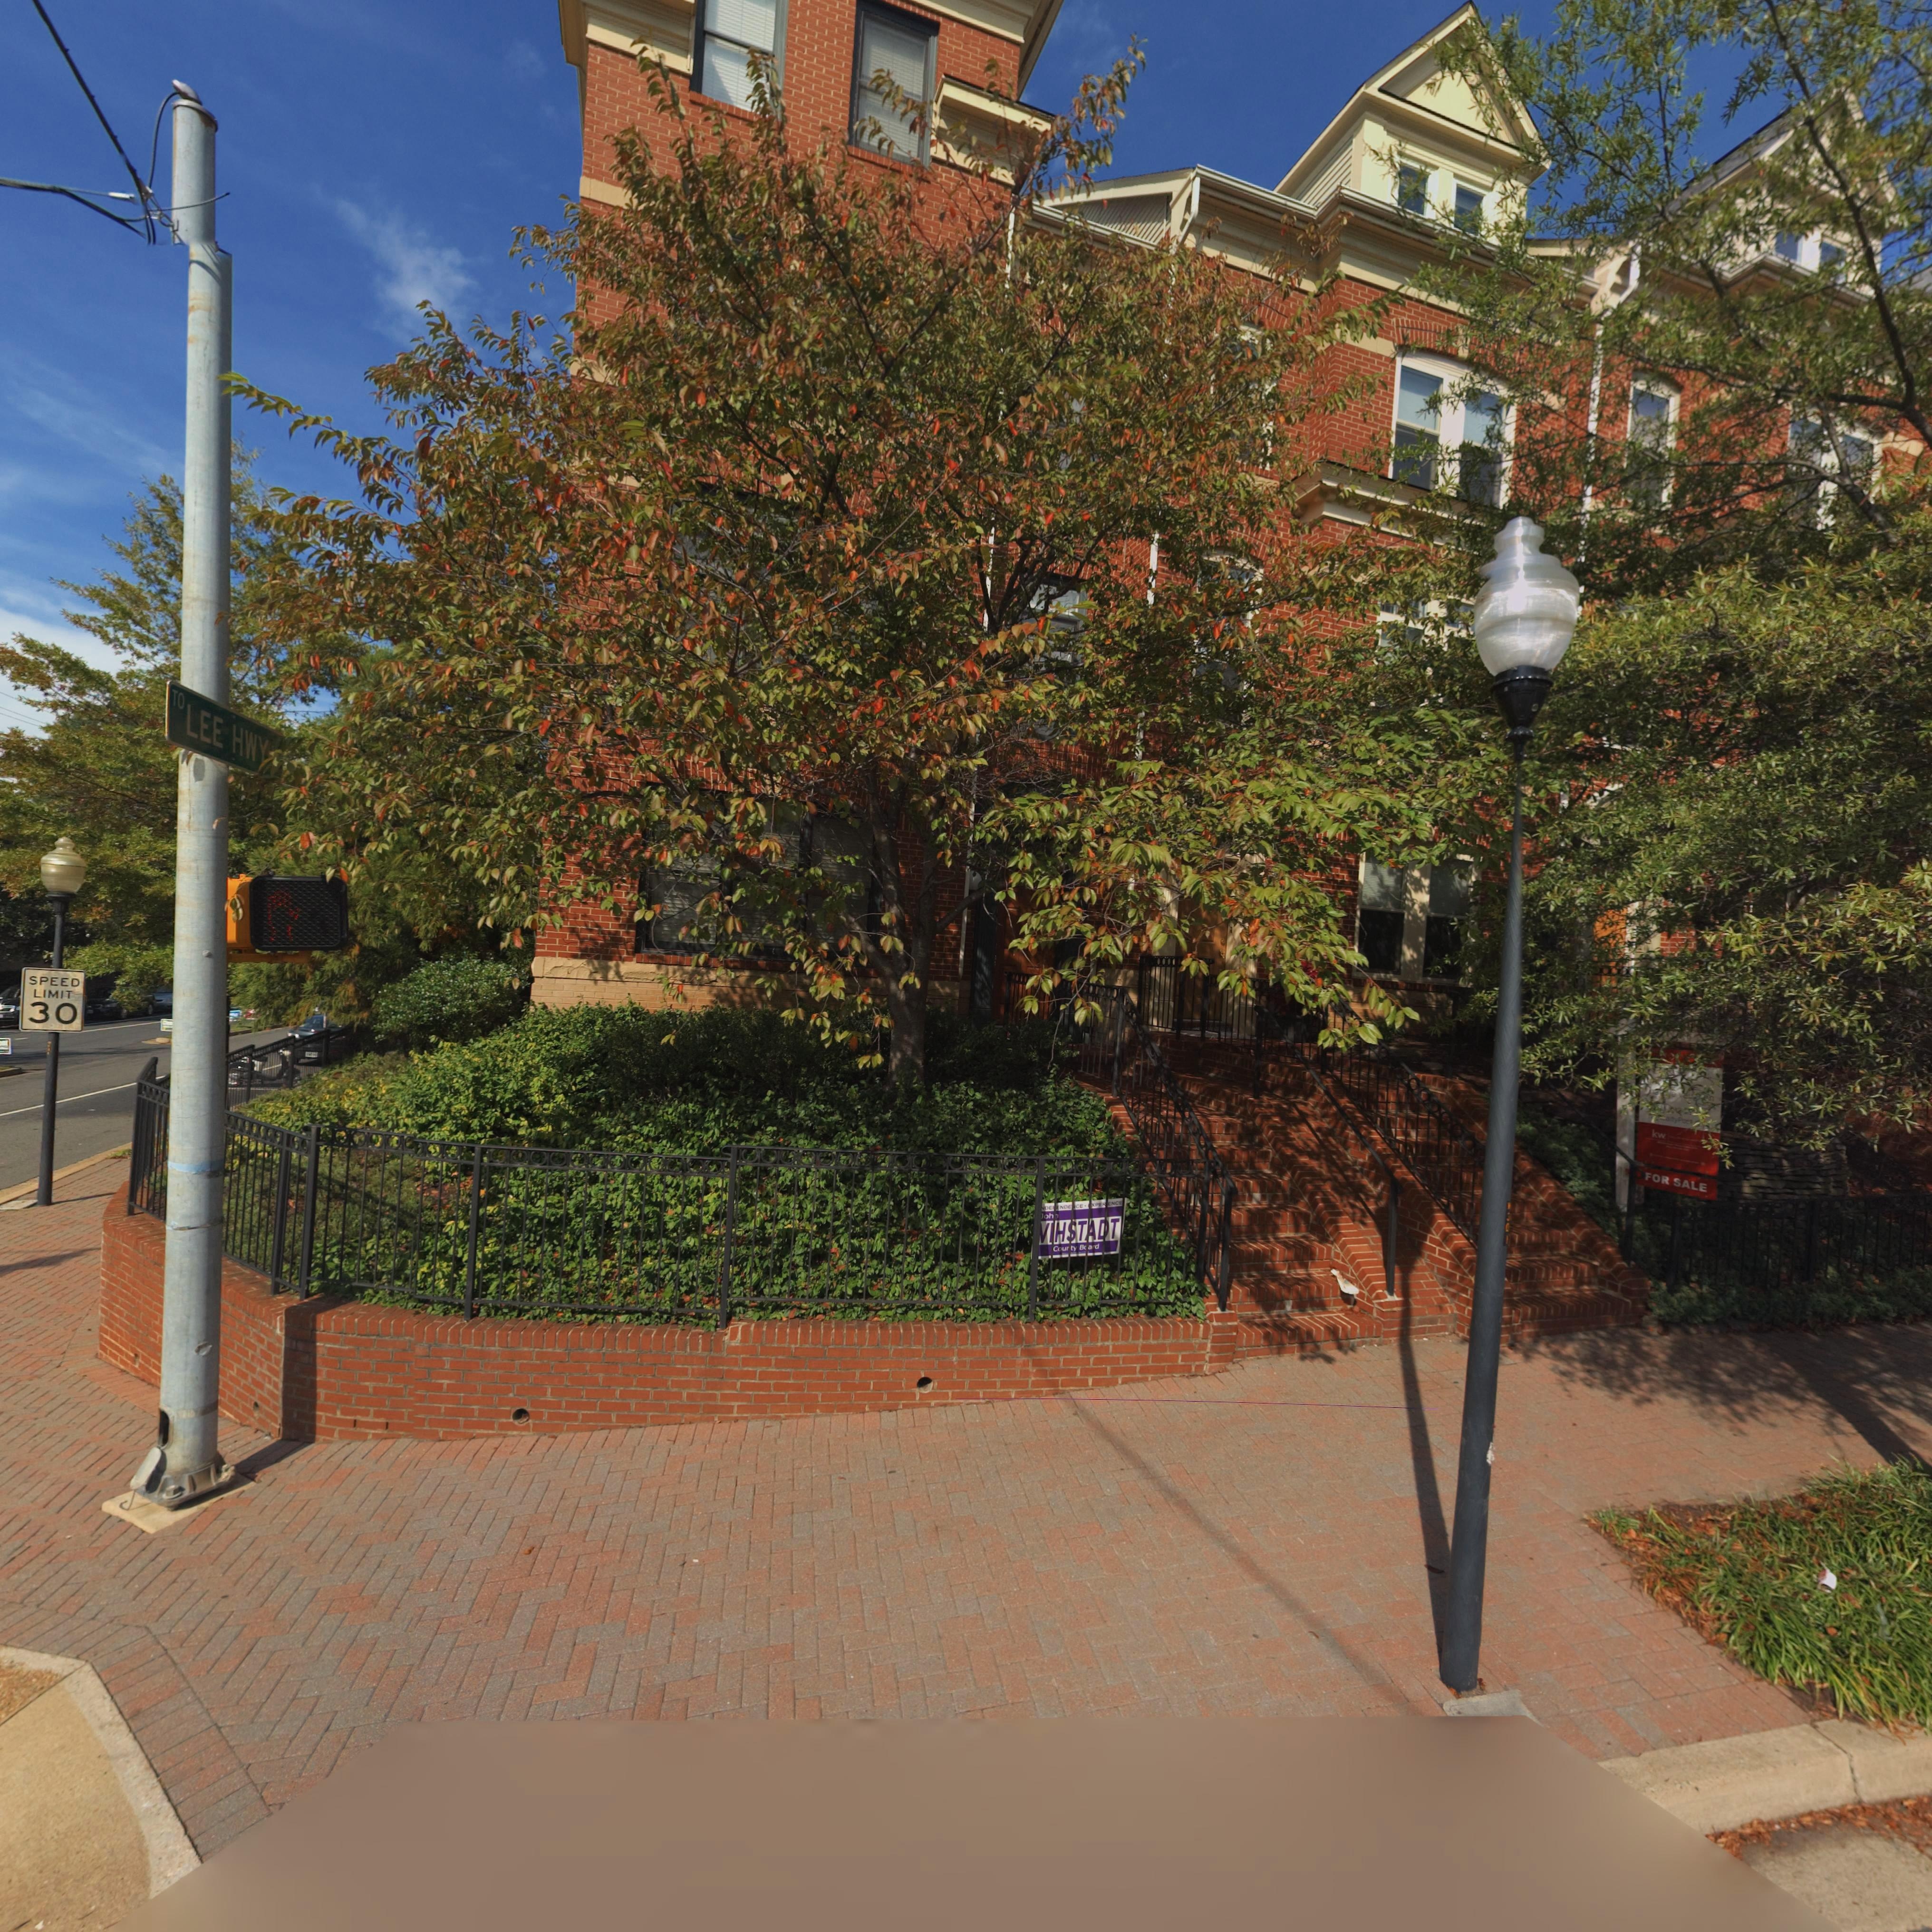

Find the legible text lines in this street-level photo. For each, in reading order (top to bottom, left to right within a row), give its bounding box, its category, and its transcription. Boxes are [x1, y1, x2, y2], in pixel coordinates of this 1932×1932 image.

[171, 687, 186, 711] None: TO
[186, 703, 270, 767] None: LEE HWY
[29, 975, 81, 987] None: SPEED
[33, 988, 73, 999] None: LIMIT
[27, 1001, 77, 1025] None: 30
[1651, 1129, 1667, 1140] None: kw
[1644, 1172, 1708, 1193] None: FOR SALE
[1040, 1204, 1083, 1211] None: NDE*ENDE*CE
[1091, 1200, 1123, 1207] None: XPER*ENCE
[1040, 1212, 1054, 1220] None: Joh
[1040, 1217, 1121, 1244] None: VIH*T**T
[1053, 1243, 1100, 1252] None: Cou*ty B*ard